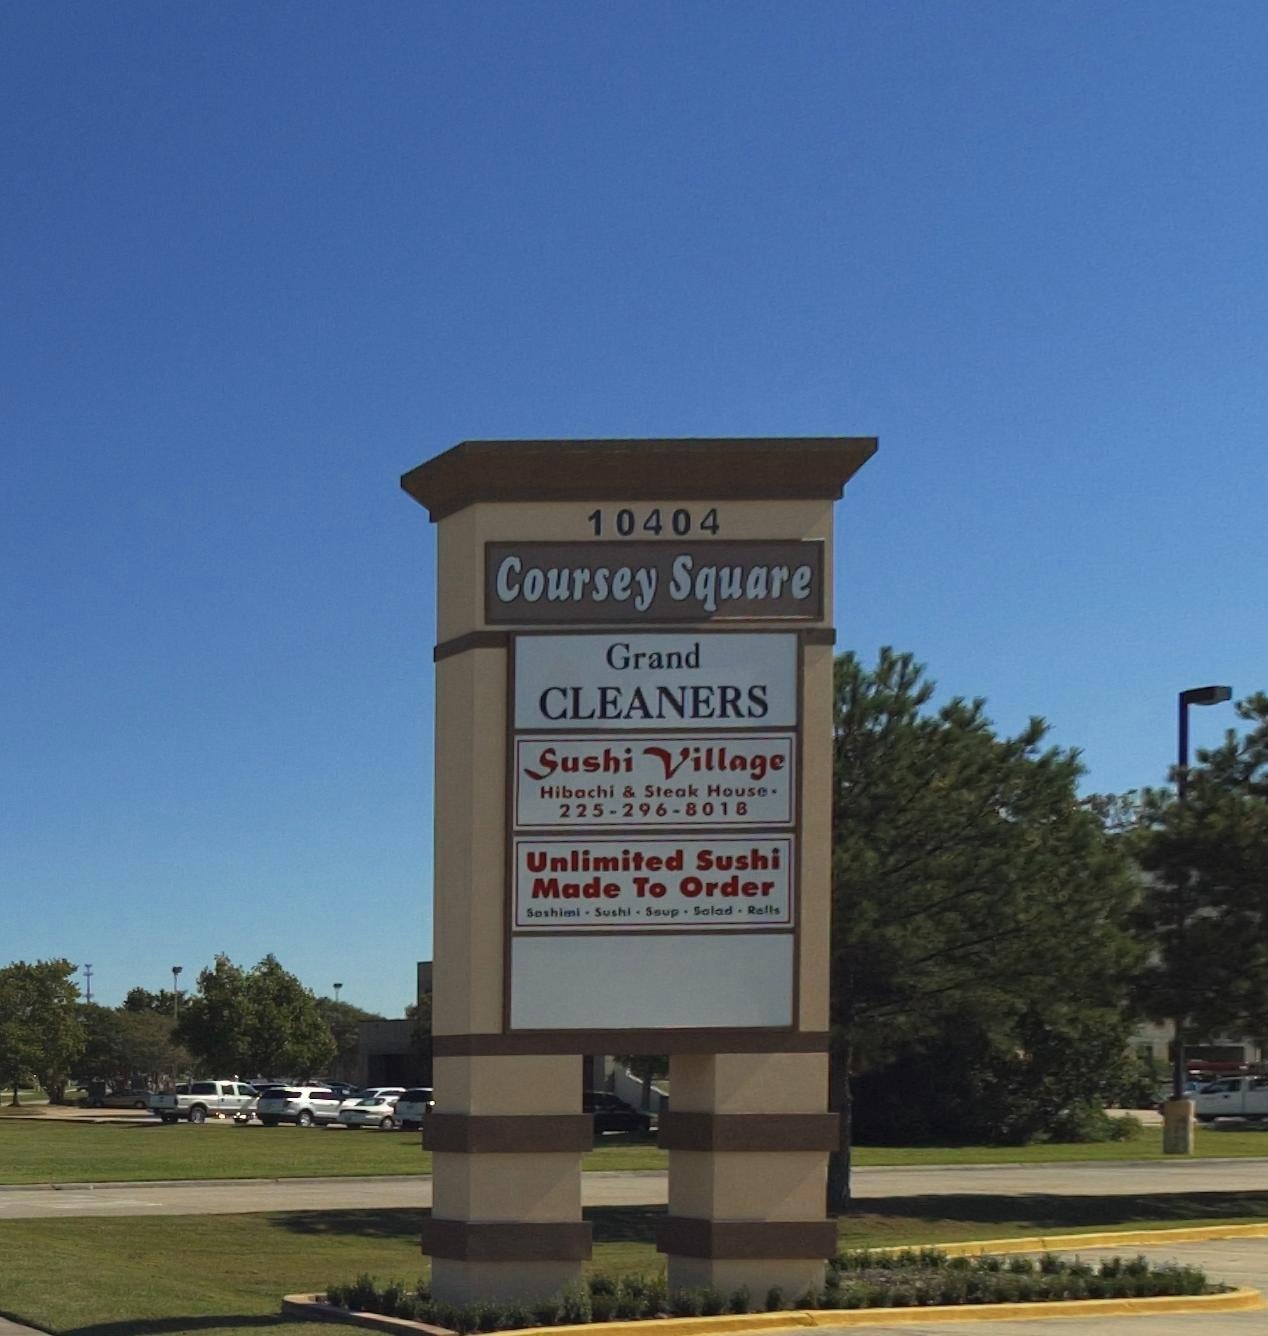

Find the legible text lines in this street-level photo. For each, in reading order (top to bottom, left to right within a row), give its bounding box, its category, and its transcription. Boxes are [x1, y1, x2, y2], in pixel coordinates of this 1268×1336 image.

[583, 503, 725, 540] StreetNumber: 10404
[493, 551, 815, 617] BusinessName: Coursey Square
[604, 639, 703, 673] BusinessName: Grand
[534, 681, 773, 725] BusinessName: CLEANERS
[520, 743, 788, 784] BusinessName: Sushi Village
[538, 782, 770, 802] None: Hibachi & Steak House
[557, 799, 751, 820] None: 225-296-8018
[523, 844, 784, 877] BusinessName: Unlimited Sushi
[528, 871, 779, 904] None: Made To Order
[523, 902, 786, 921] None: S*shimi*Sushi*Soup*Salad*Rolls